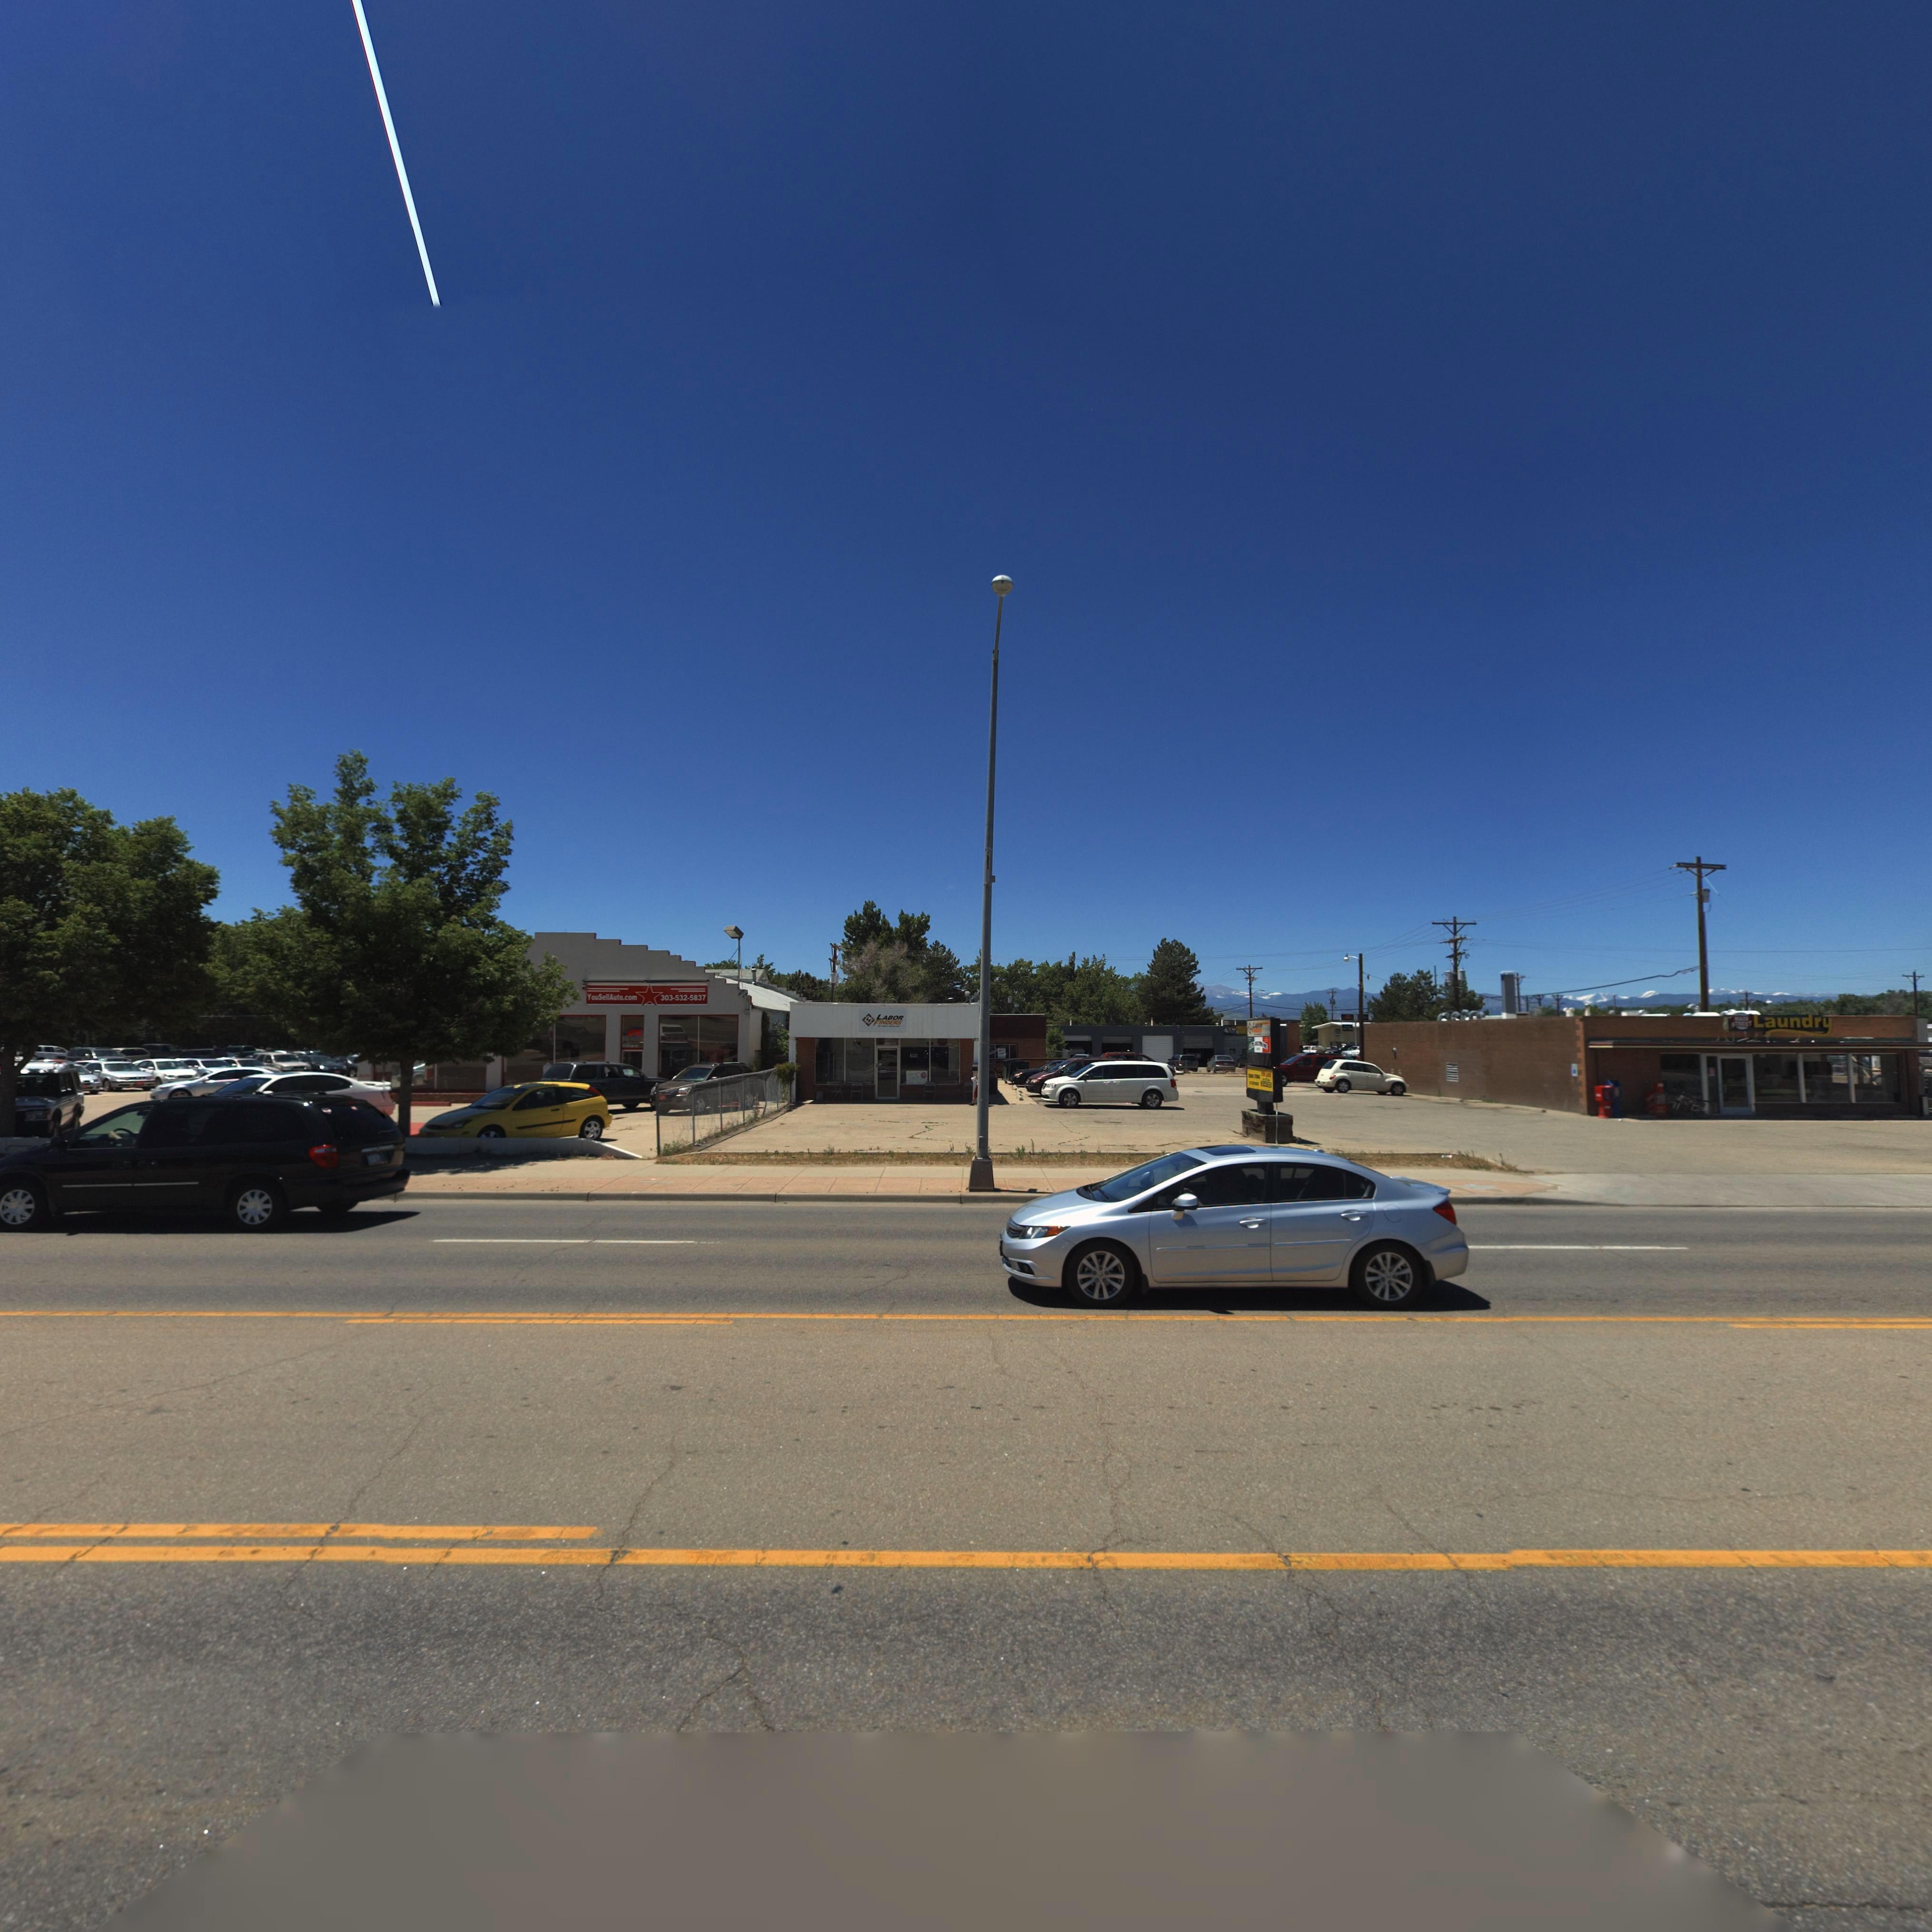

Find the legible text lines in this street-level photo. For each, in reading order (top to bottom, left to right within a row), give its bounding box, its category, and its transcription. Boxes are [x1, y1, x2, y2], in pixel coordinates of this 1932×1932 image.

[876, 1014, 904, 1020] BusinessName: LABOR
[1734, 1015, 1748, 1021] BusinessName: *A*N
[872, 1019, 902, 1025] BusinessName: FINDERS
[1252, 1022, 1263, 1028] BusinessName: LA*O*
[1730, 1019, 1752, 1028] BusinessName: STREET
[1752, 1013, 1833, 1037] BusinessName: Laundry
[885, 1042, 890, 1045] StreetNumber: 1**